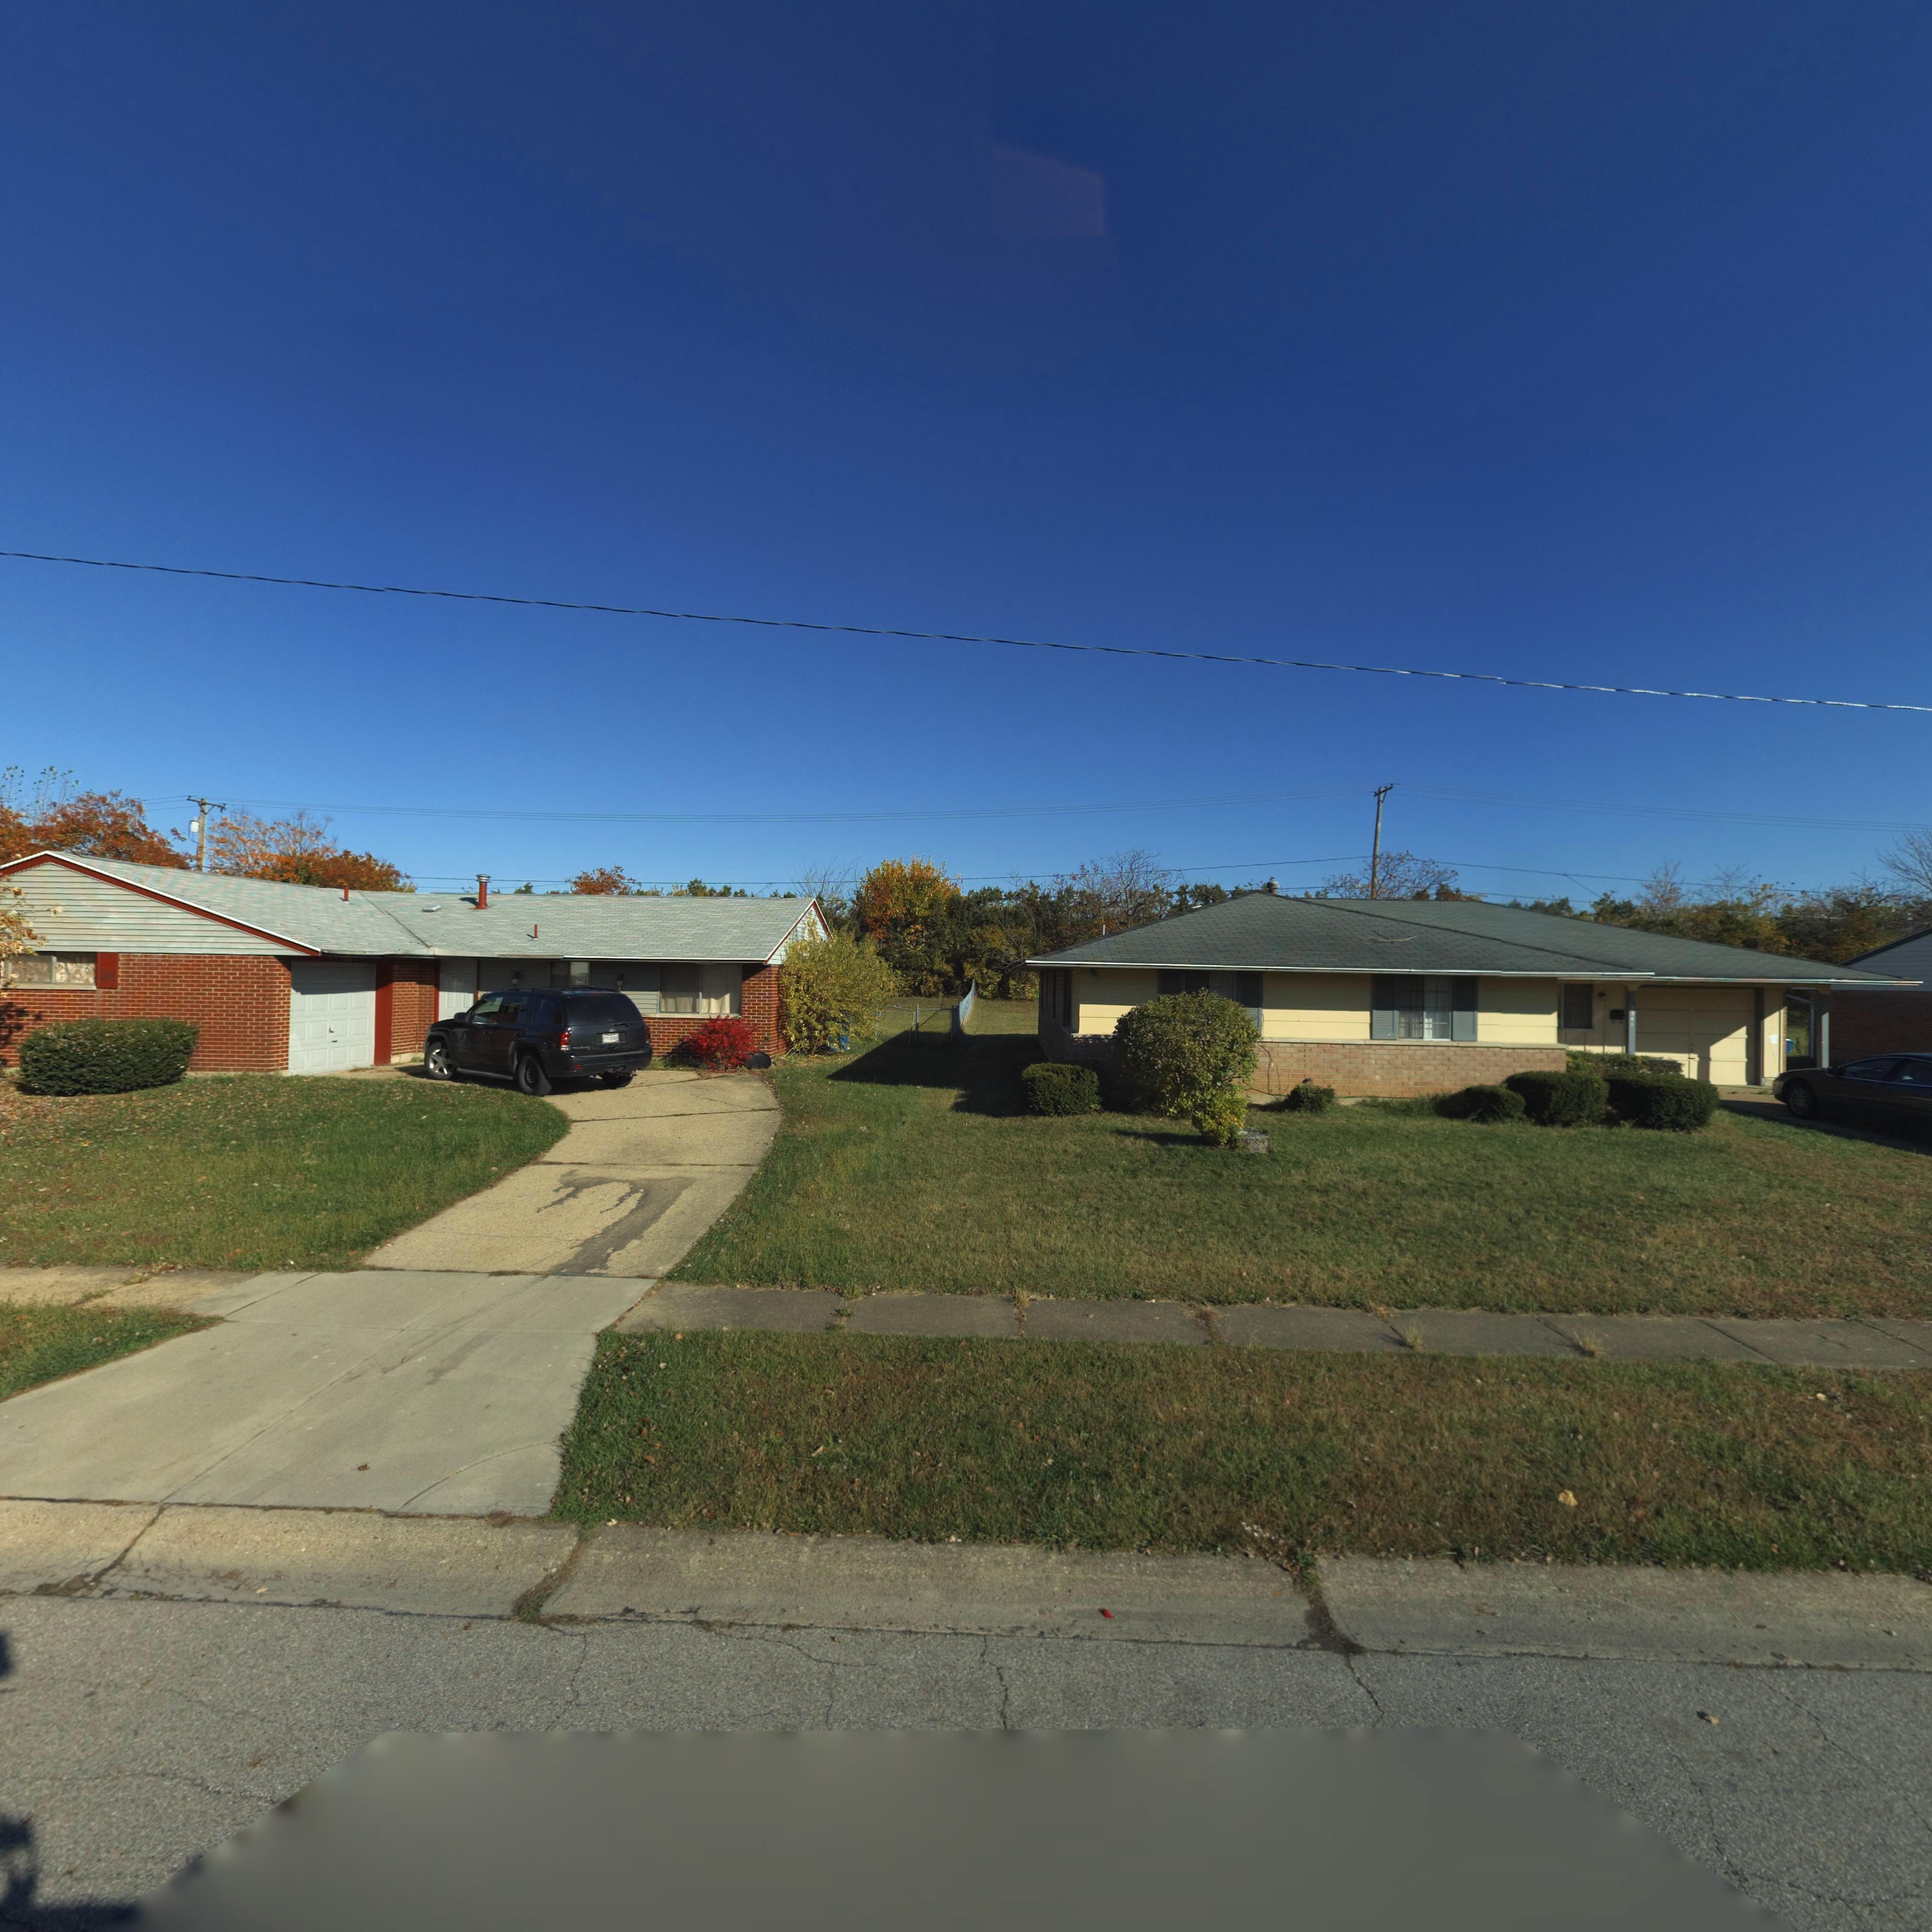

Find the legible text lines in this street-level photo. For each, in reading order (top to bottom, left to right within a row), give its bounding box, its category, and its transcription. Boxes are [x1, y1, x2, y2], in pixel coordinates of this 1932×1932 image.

[339, 957, 352, 963] StreetNumber: 79**
[1629, 1005, 1635, 1027] StreetNumber: 7941